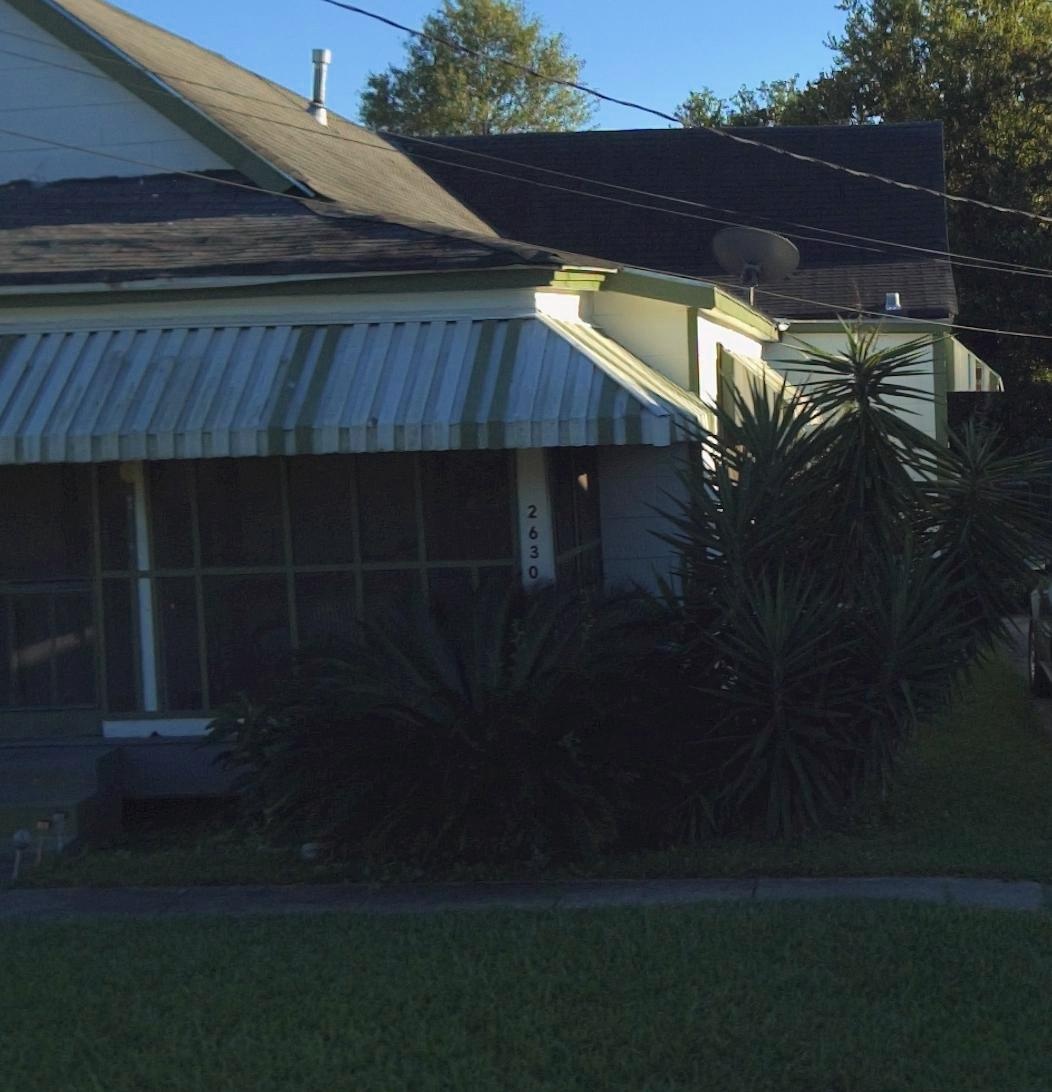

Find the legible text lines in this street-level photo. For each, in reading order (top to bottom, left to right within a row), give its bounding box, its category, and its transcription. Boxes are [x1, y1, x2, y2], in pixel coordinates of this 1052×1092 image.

[525, 502, 541, 581] StreetNumber: 2630